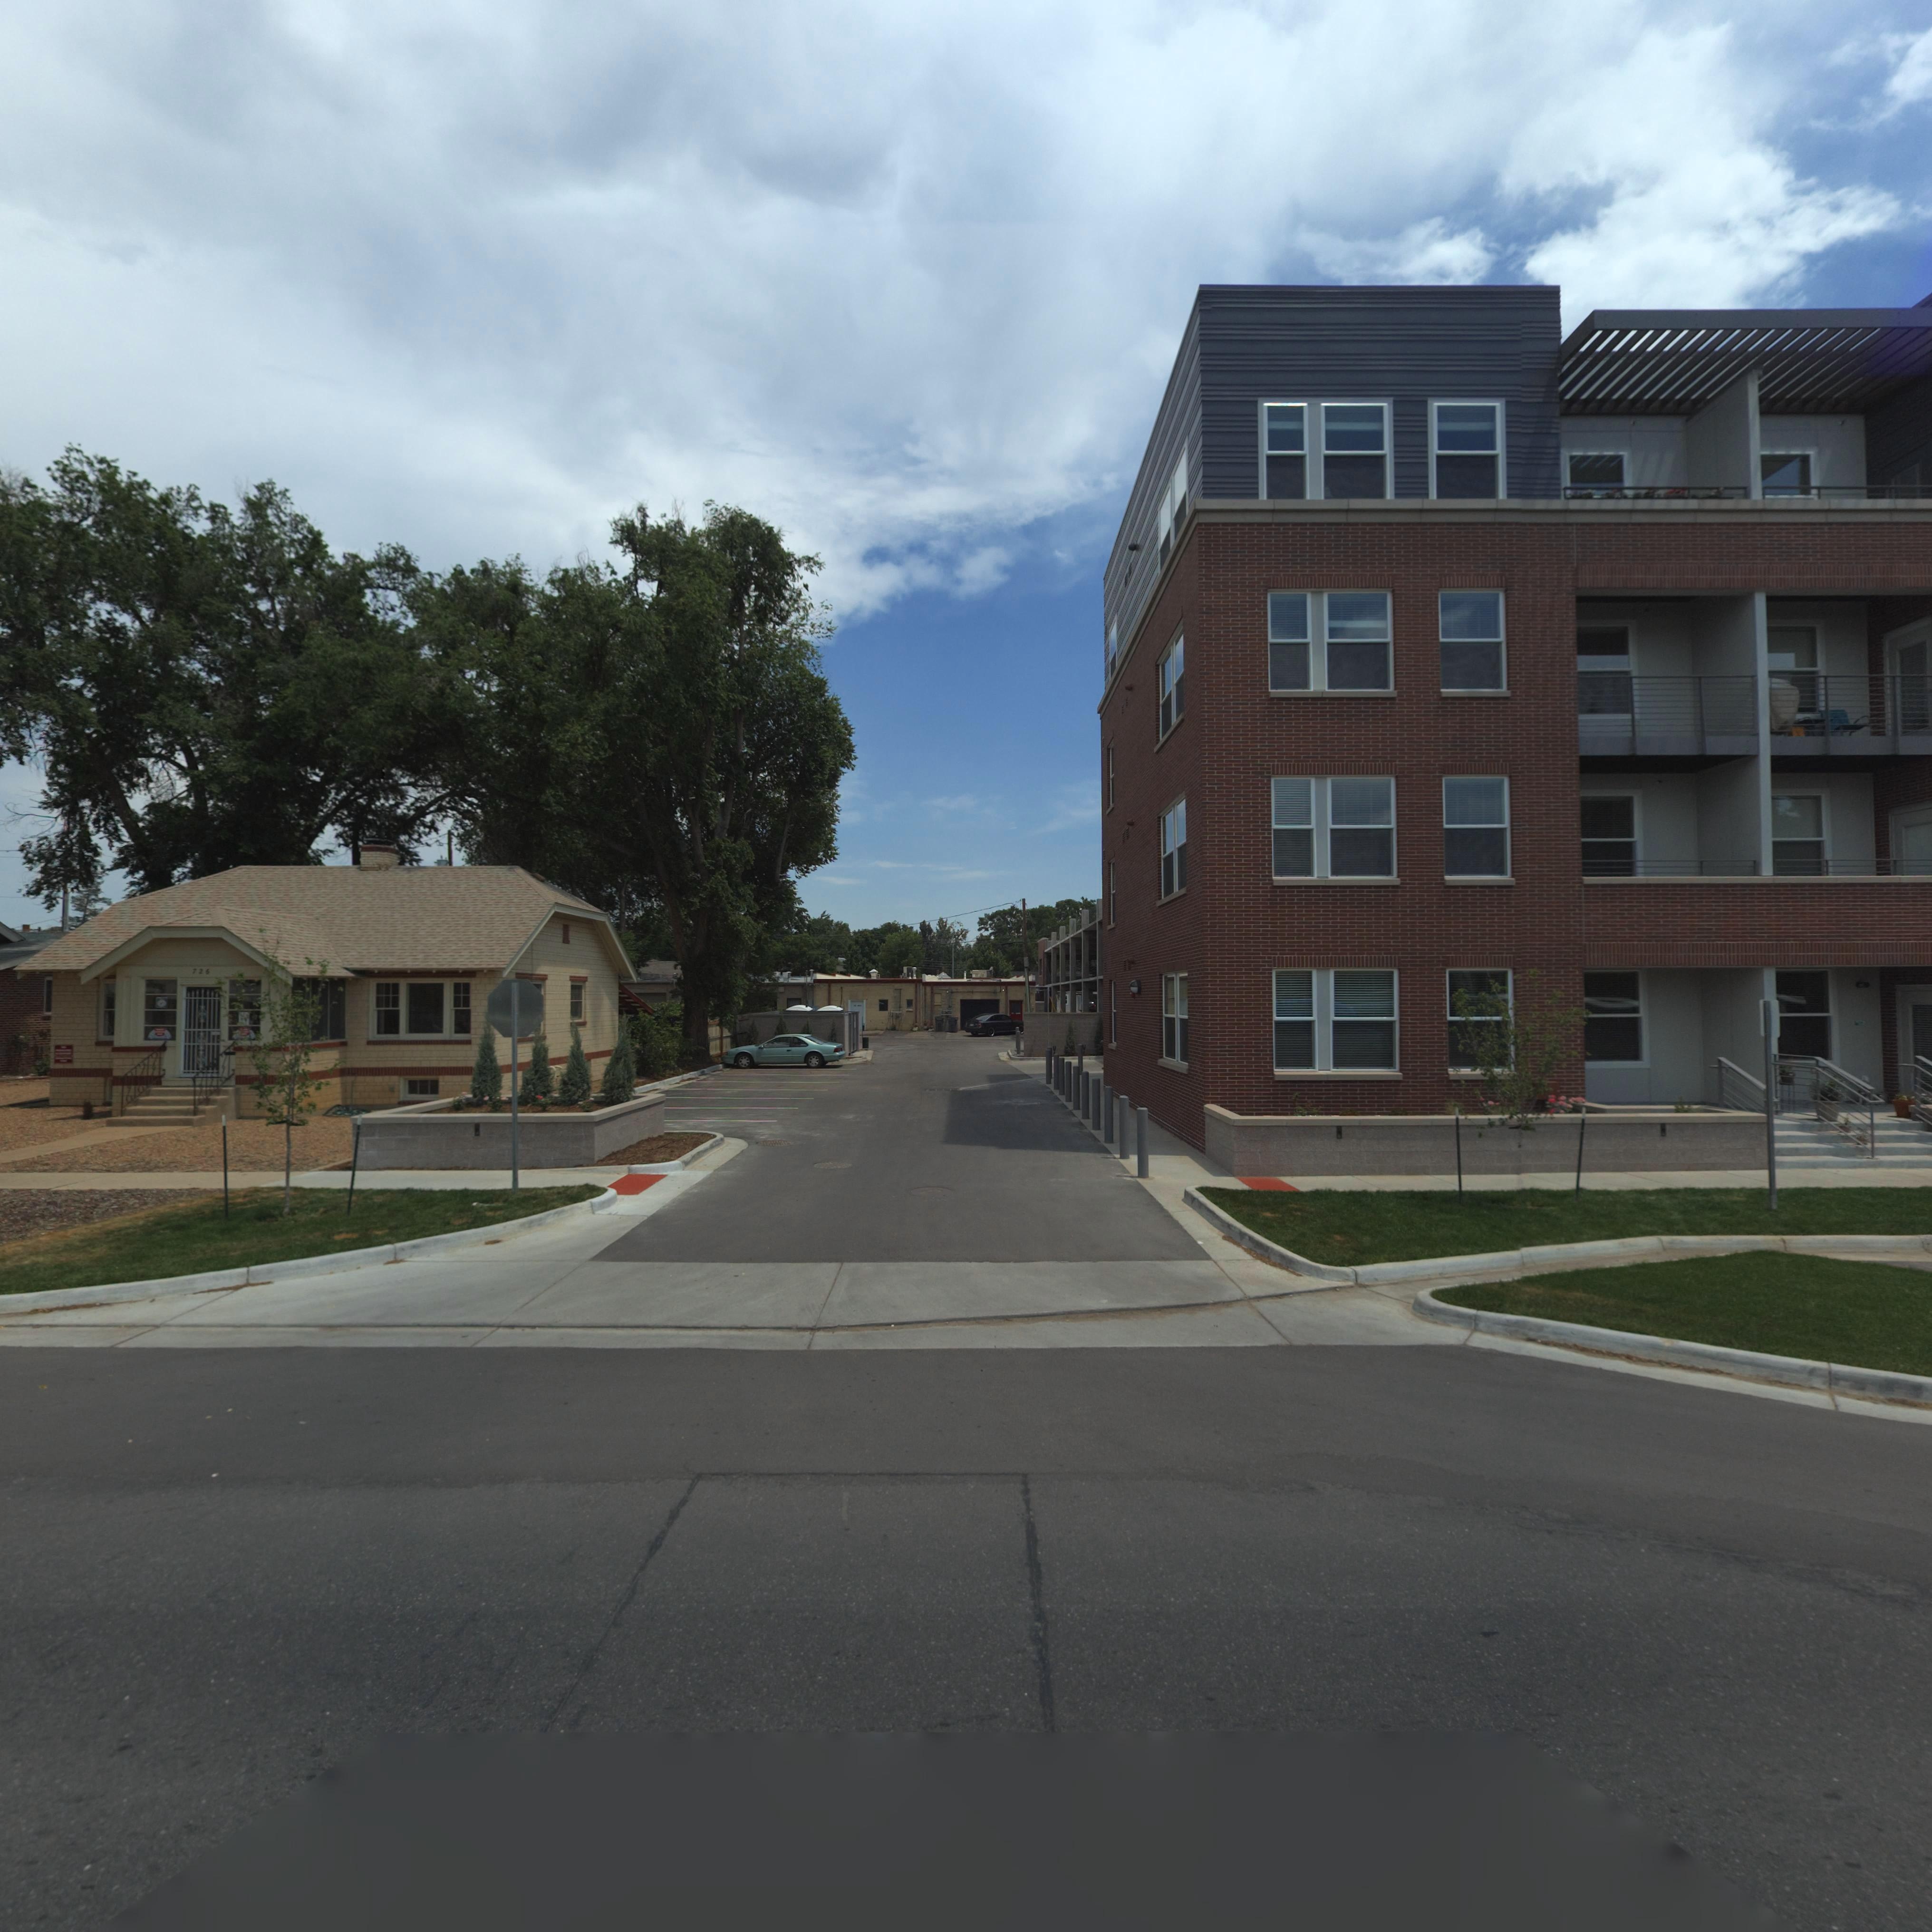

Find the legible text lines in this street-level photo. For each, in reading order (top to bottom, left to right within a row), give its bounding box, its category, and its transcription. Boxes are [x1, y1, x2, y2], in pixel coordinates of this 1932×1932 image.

[192, 968, 210, 975] StreetNumber: 726